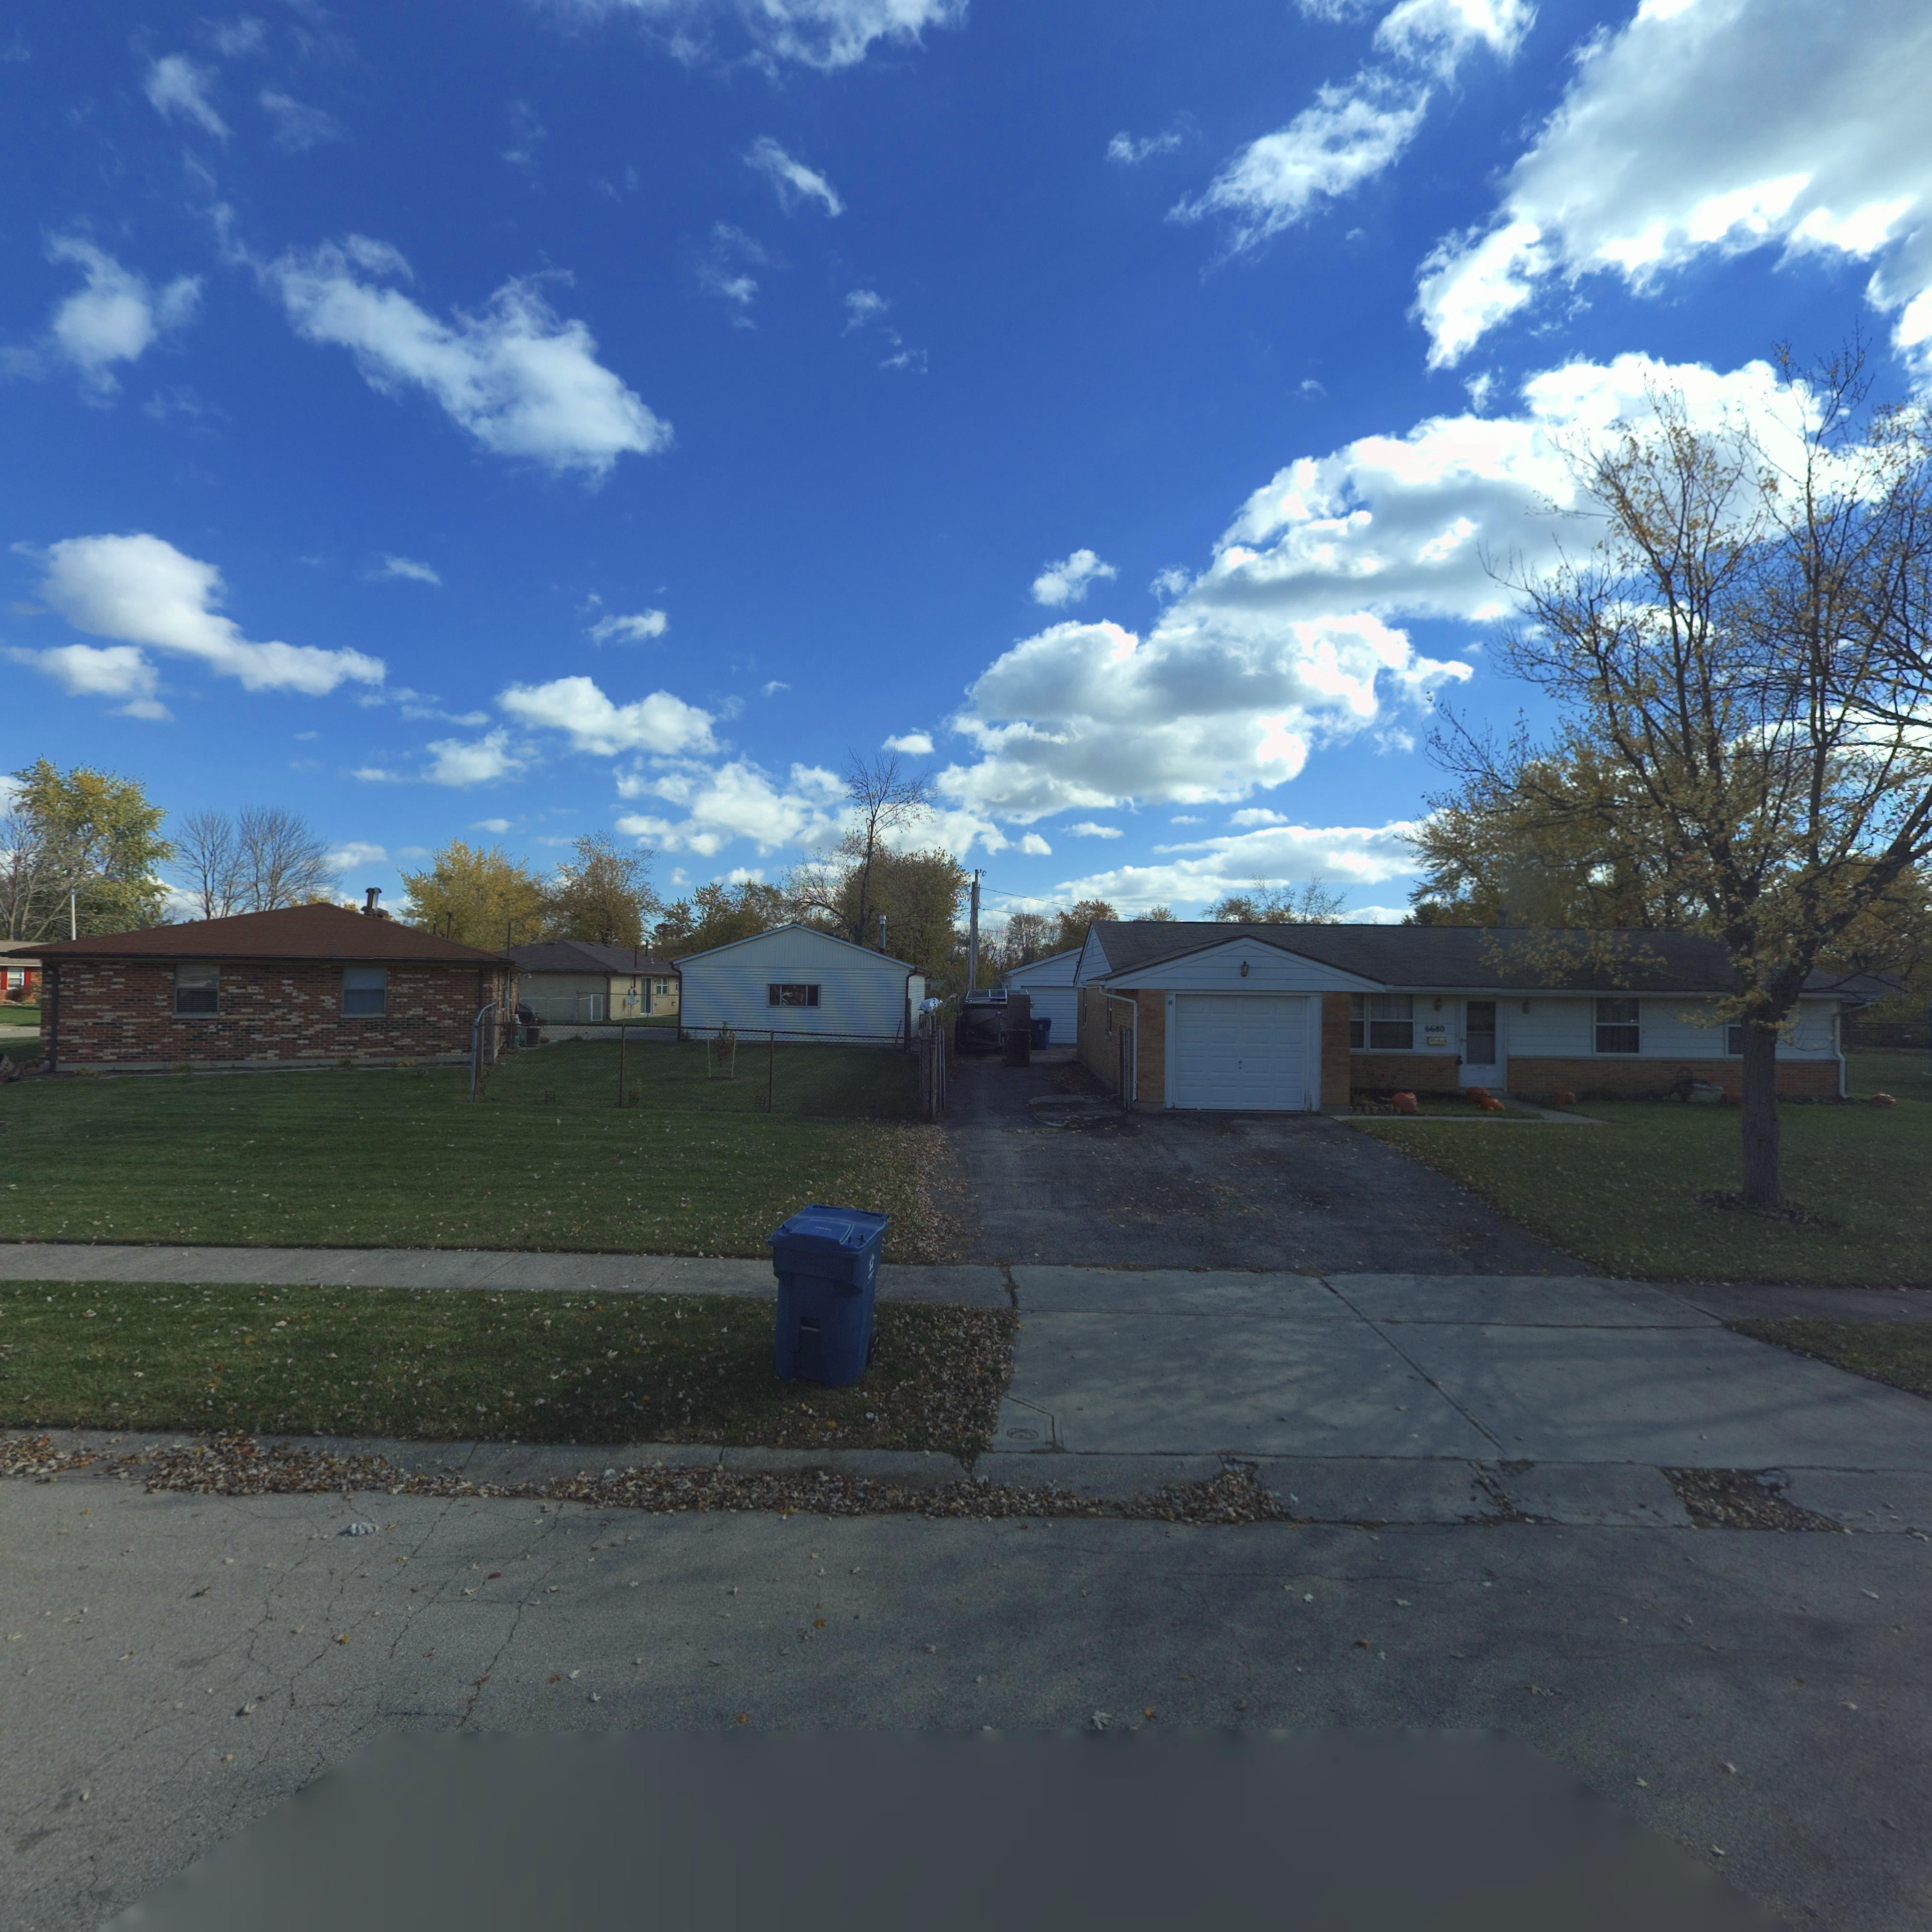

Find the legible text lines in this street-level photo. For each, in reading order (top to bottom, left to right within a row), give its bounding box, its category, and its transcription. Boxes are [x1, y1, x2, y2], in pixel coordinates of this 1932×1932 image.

[1425, 1025, 1445, 1032] StreetNumber: 6680